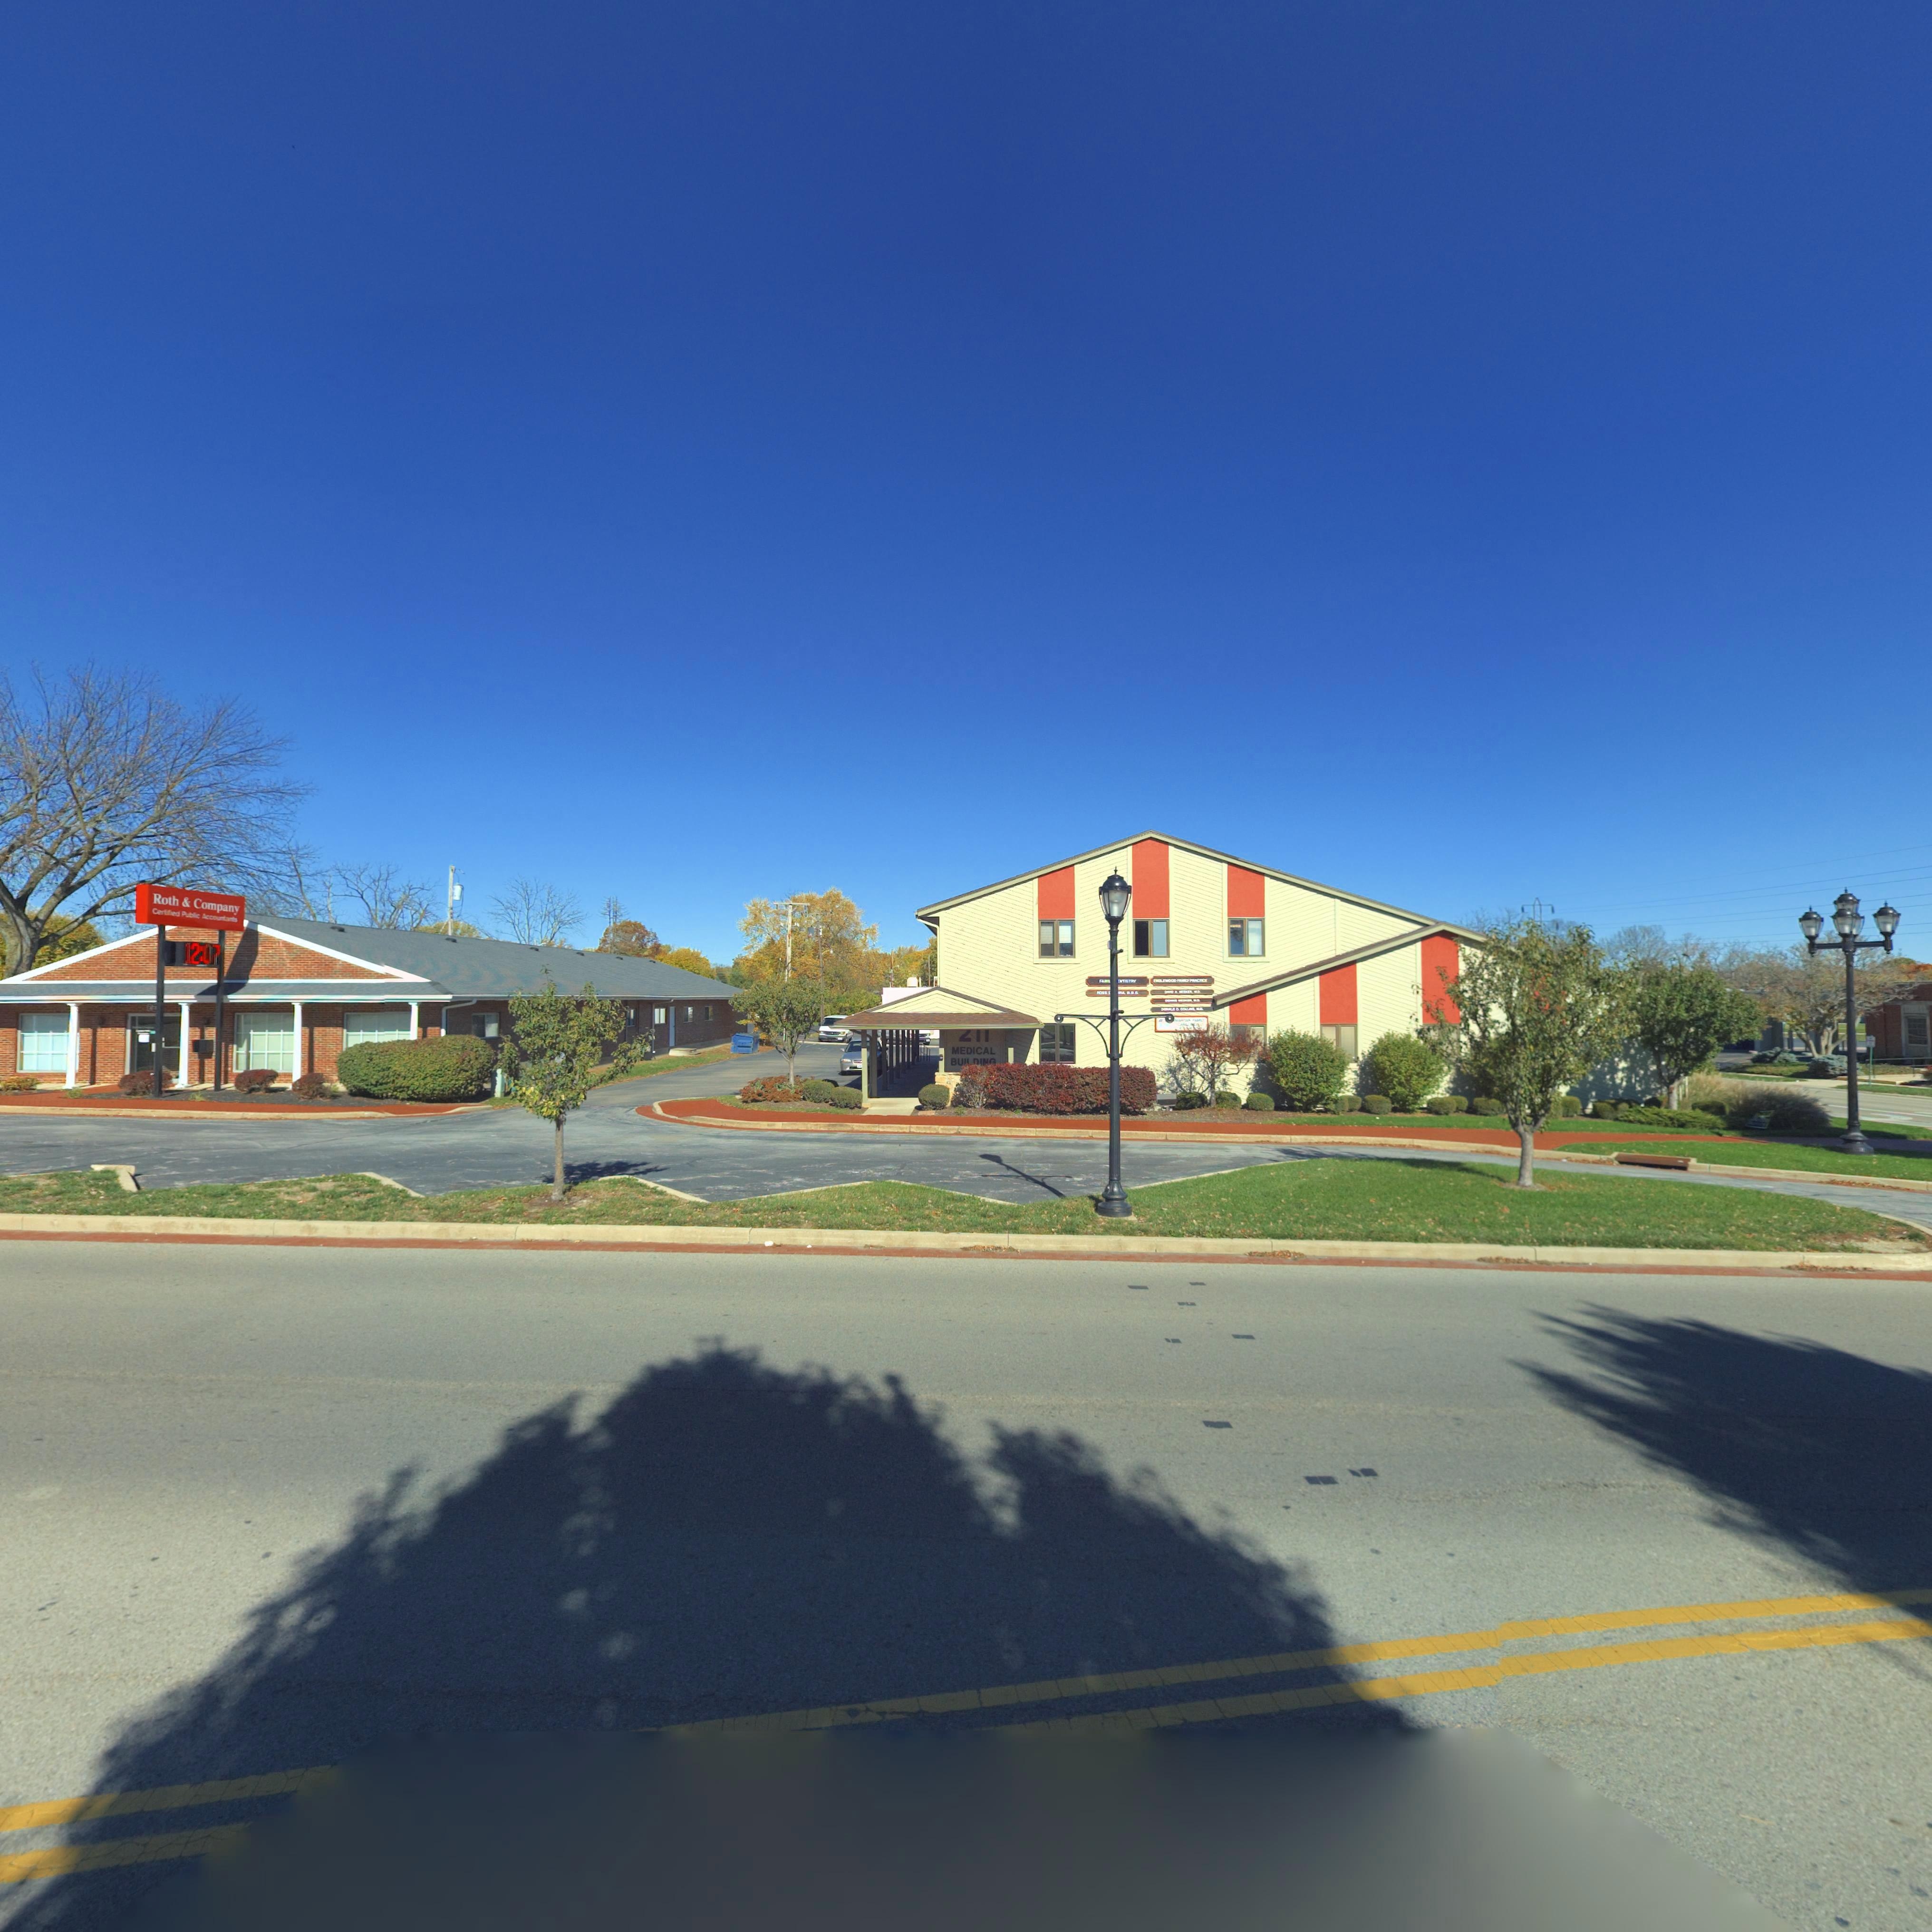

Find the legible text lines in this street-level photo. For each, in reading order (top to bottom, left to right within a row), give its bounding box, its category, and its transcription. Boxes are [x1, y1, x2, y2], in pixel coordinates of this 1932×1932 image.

[152, 892, 241, 916] BusinessName: Roth & Company
[151, 907, 213, 921] None: Certified Public Acc
[189, 942, 201, 965] None: 2
[148, 1005, 154, 1010] StreetNumber: 2
[976, 1029, 989, 1043] StreetNumber: 11
[951, 1046, 996, 1055] None: MEDICAL
[950, 1057, 996, 1066] None: BUI**I**